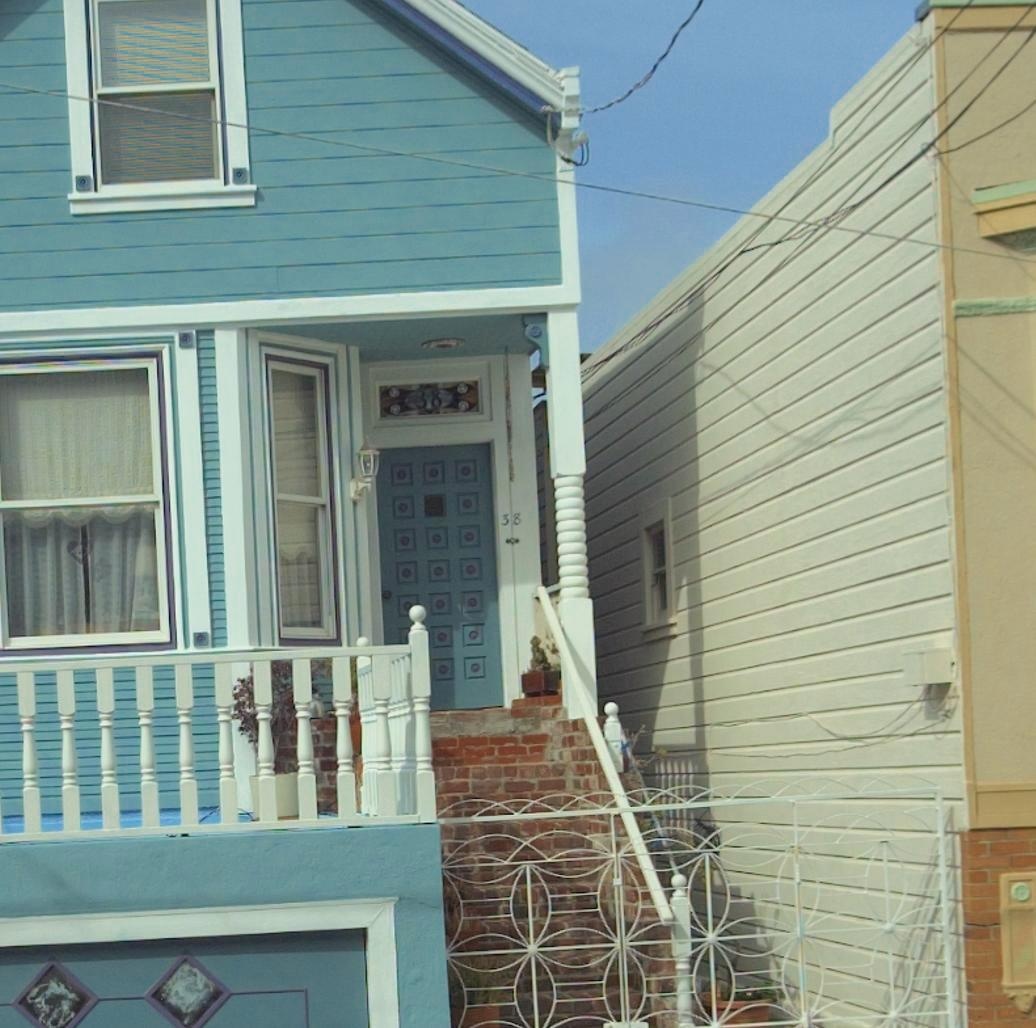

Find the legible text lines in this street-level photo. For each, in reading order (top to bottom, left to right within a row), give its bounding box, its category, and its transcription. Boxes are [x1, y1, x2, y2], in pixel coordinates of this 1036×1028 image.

[501, 512, 522, 527] StreetNumber: 38